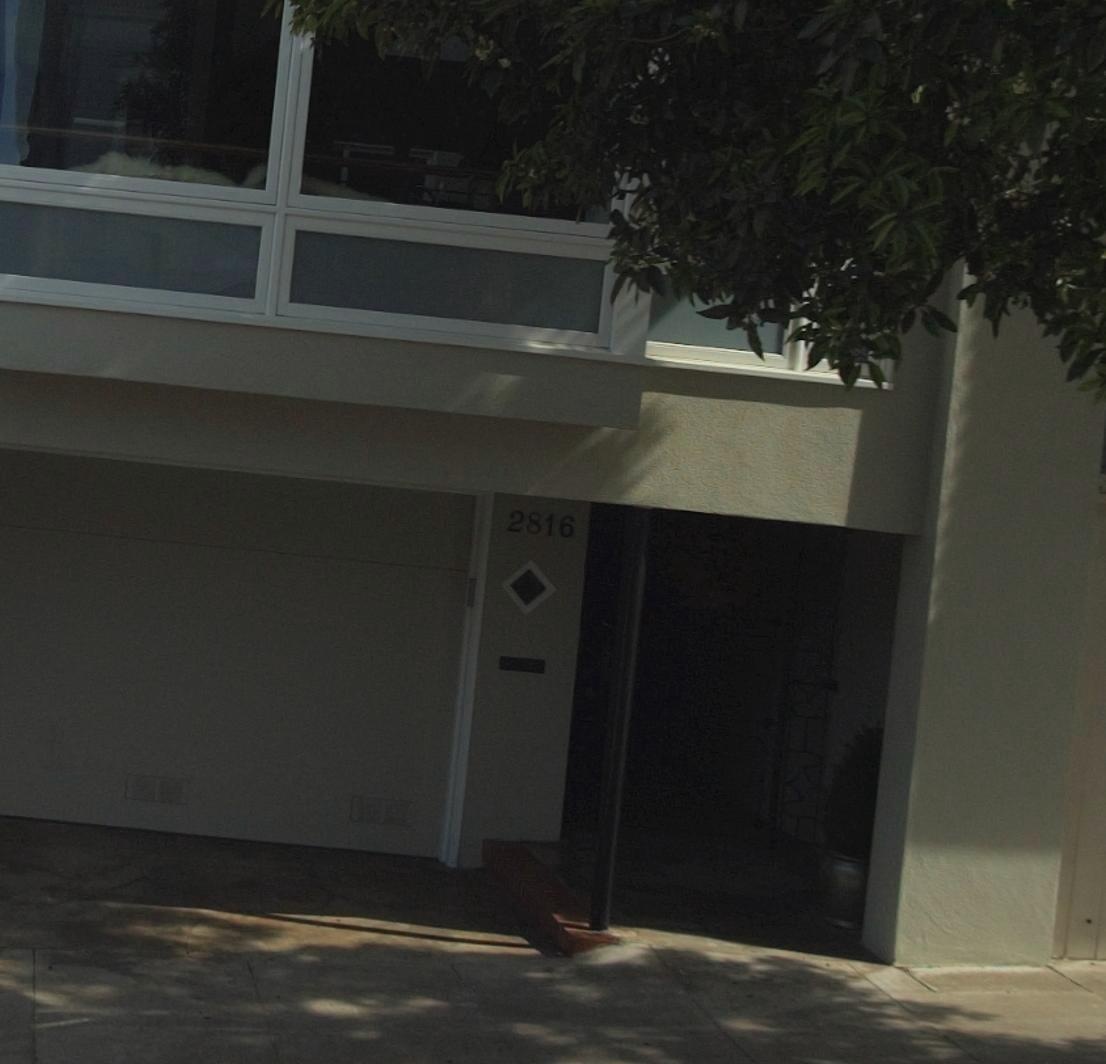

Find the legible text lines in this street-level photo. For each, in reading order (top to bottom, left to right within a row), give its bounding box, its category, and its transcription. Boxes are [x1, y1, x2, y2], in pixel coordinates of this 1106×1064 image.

[504, 507, 577, 541] StreetNumber: 2816